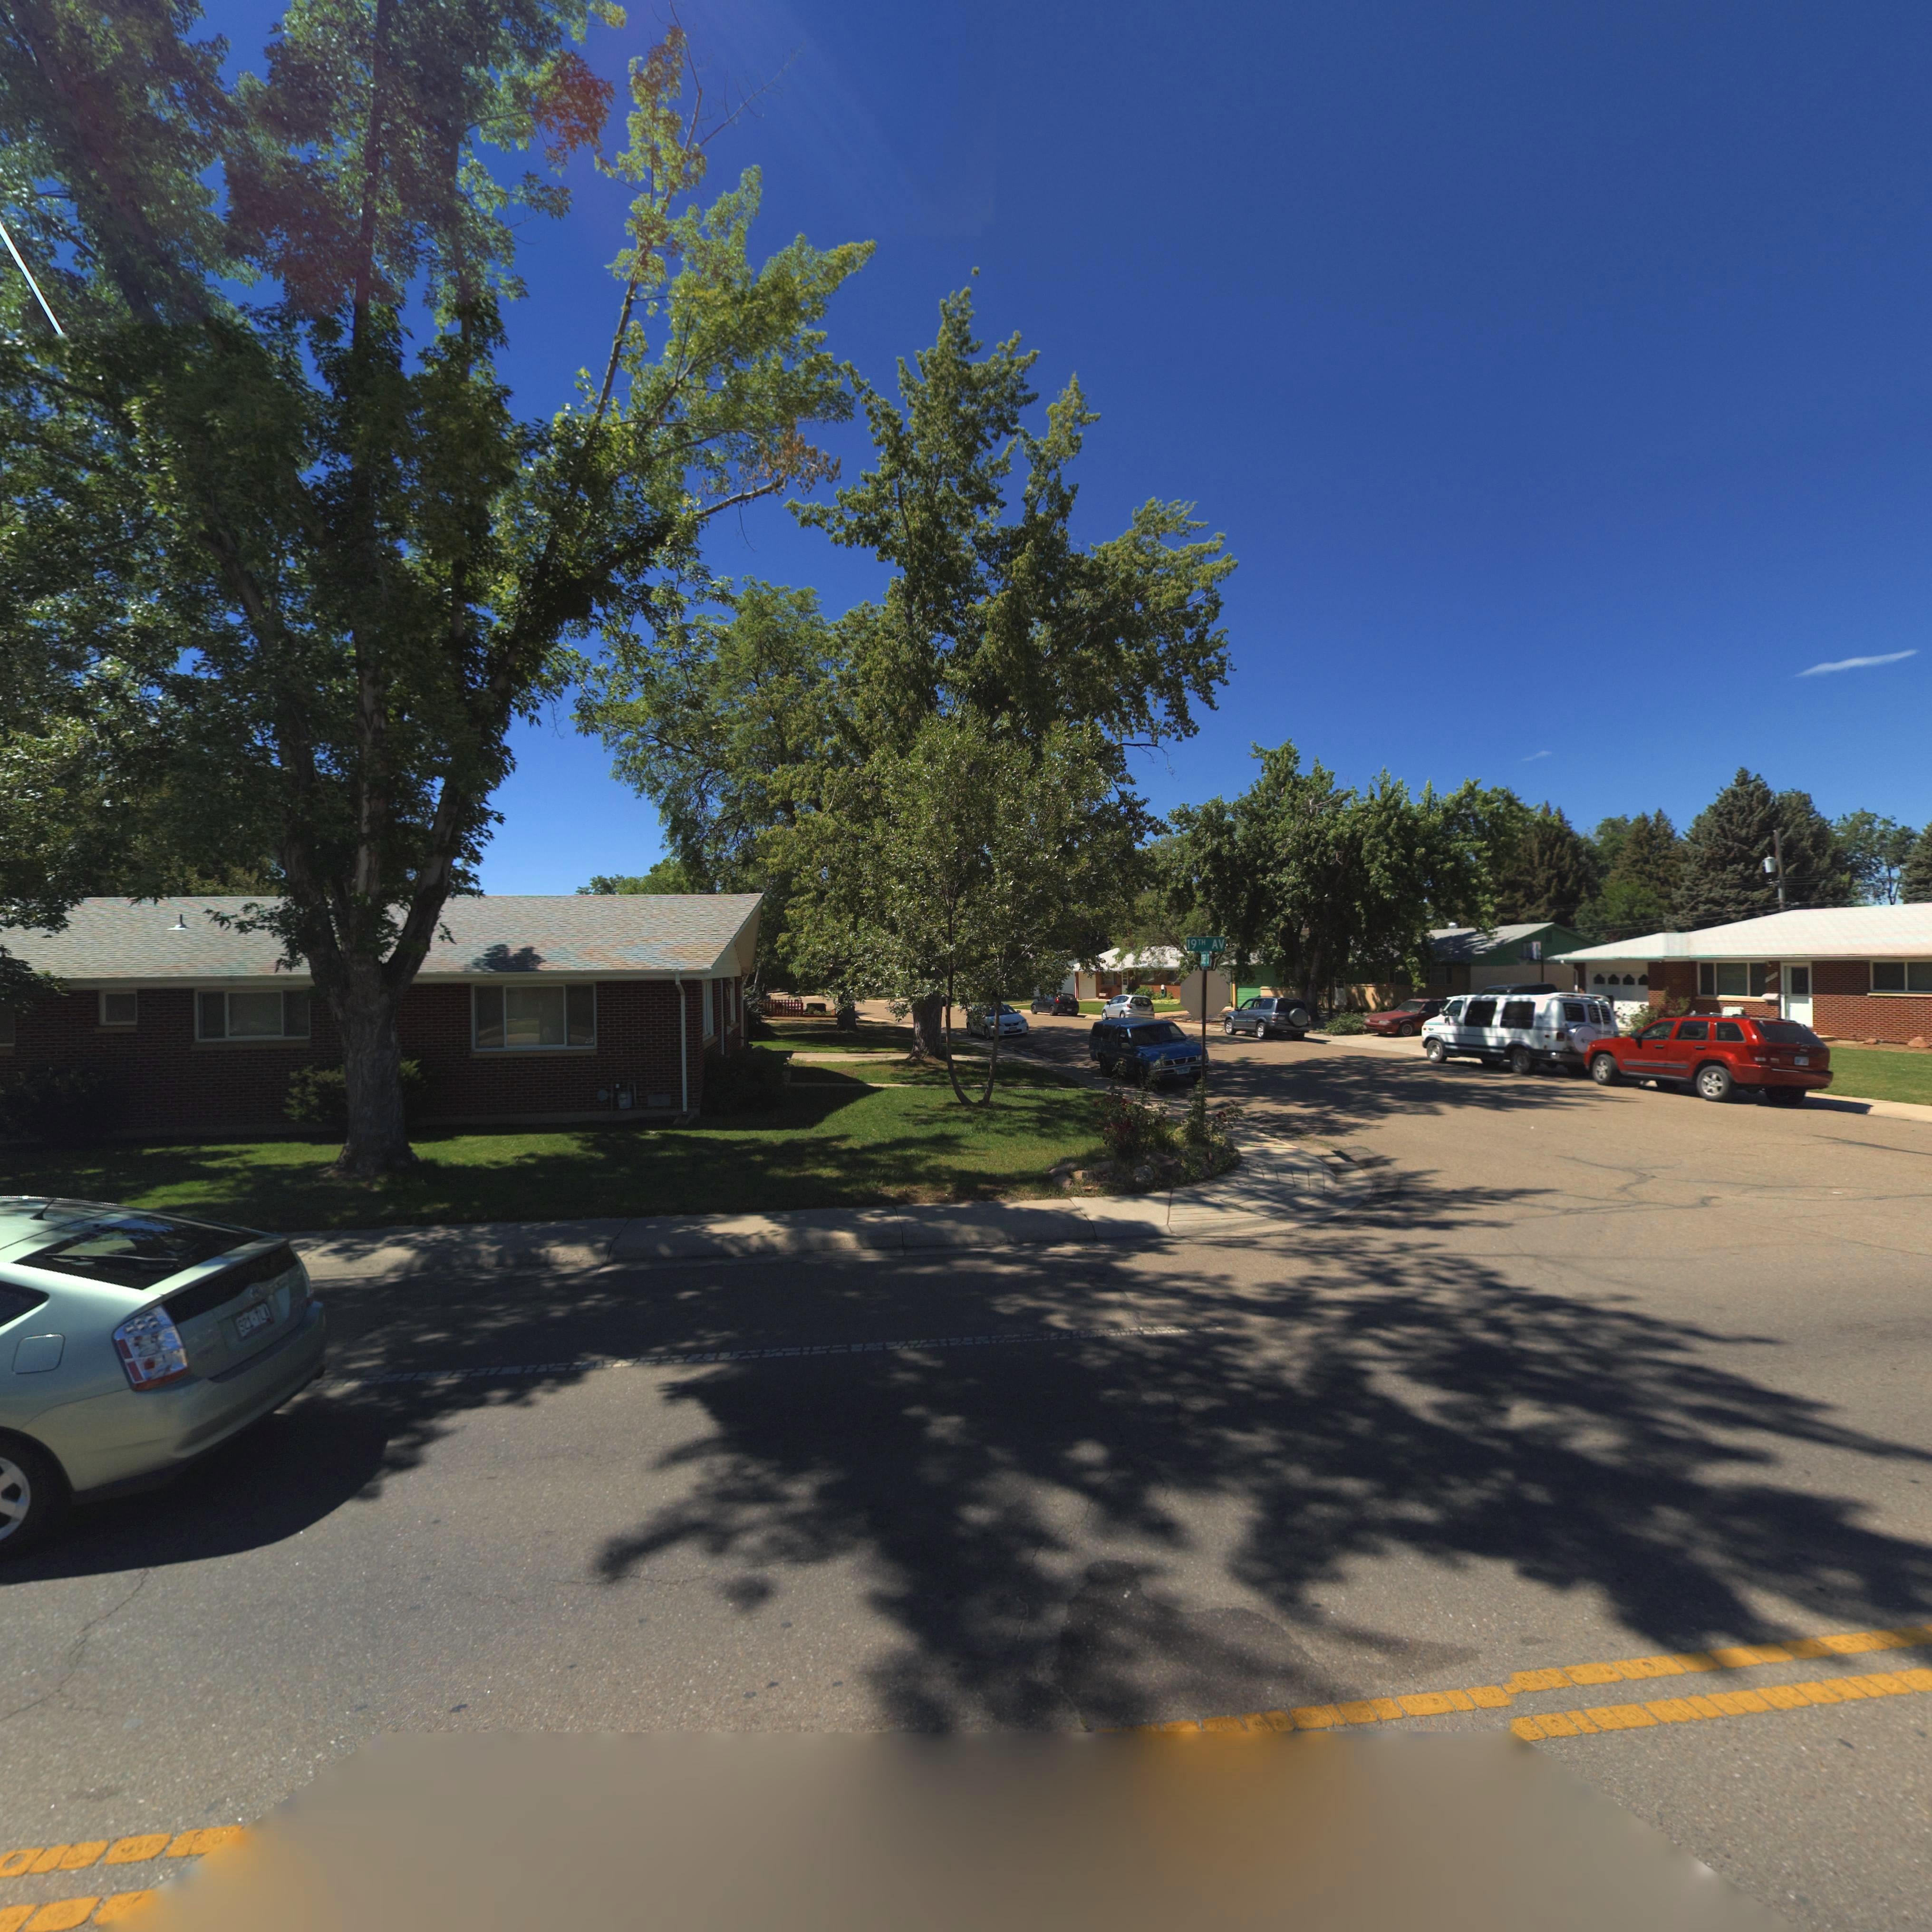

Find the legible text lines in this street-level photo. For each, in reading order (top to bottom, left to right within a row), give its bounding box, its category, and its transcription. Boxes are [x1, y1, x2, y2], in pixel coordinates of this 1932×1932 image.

[1187, 938, 1225, 949] StreetName: 19TH AV